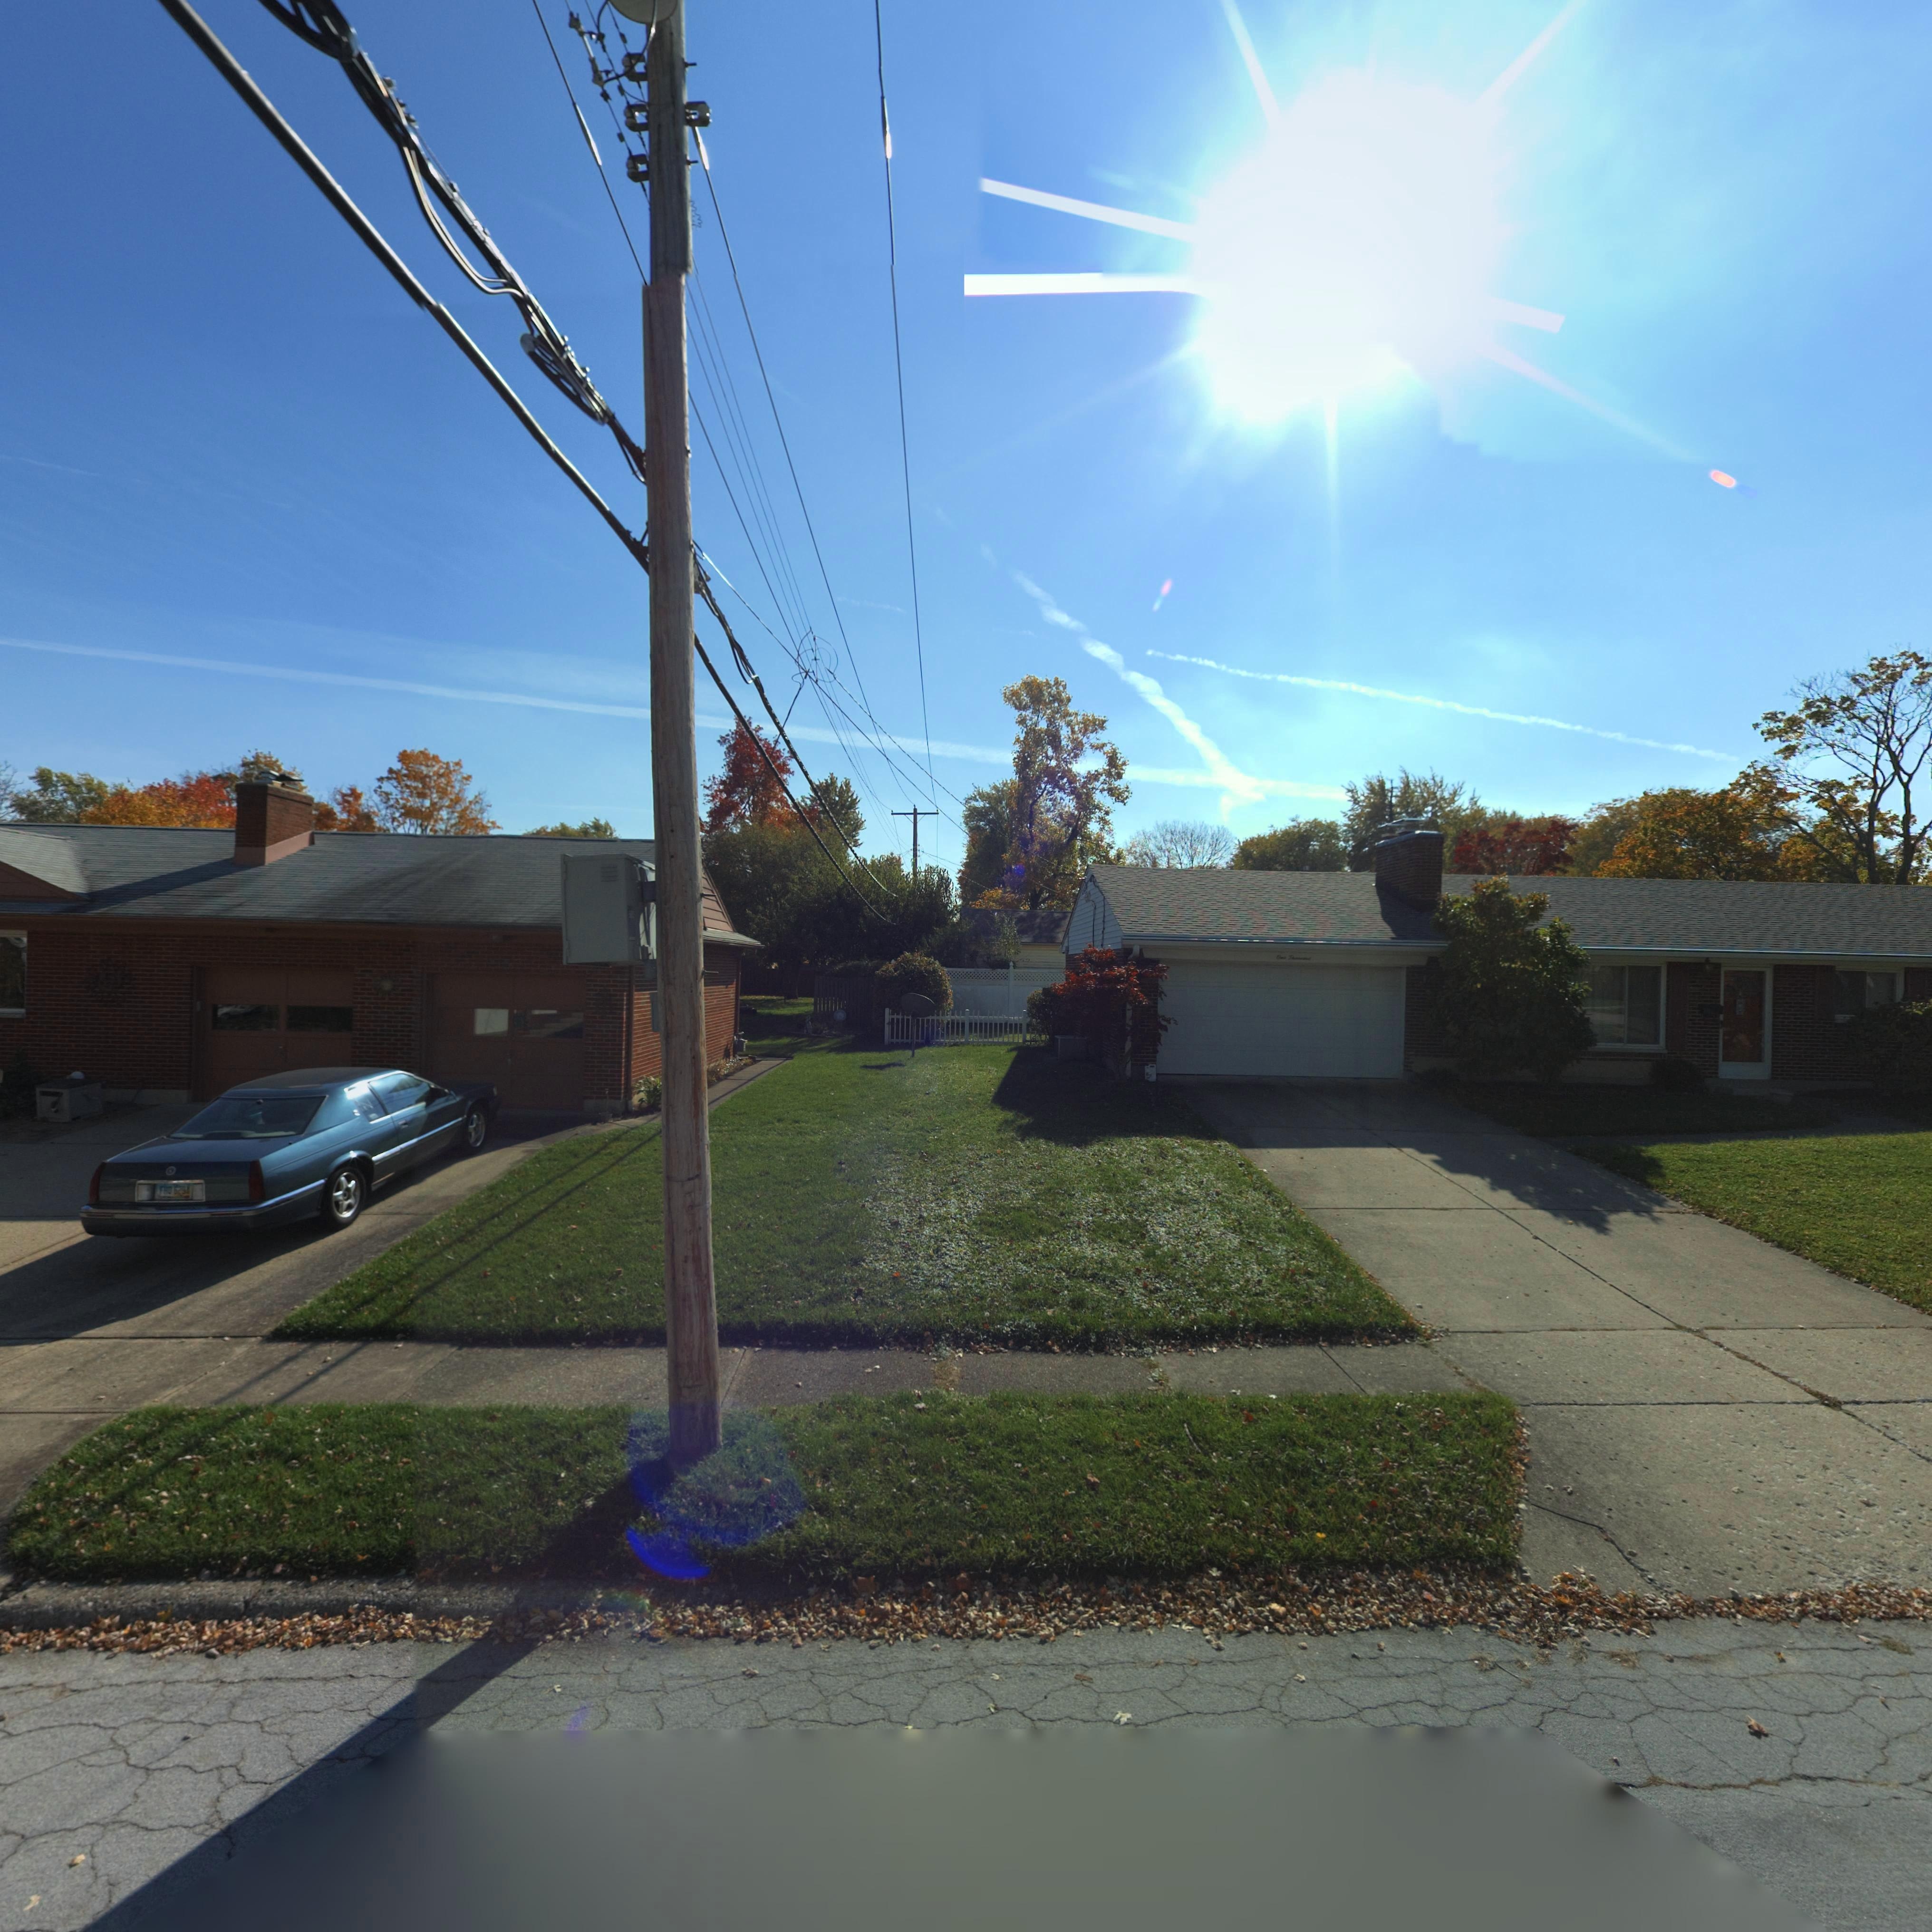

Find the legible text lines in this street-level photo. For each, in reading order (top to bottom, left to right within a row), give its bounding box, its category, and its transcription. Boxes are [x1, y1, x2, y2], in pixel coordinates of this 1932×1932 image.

[1275, 954, 1313, 961] StreetNumber: One Th*****d